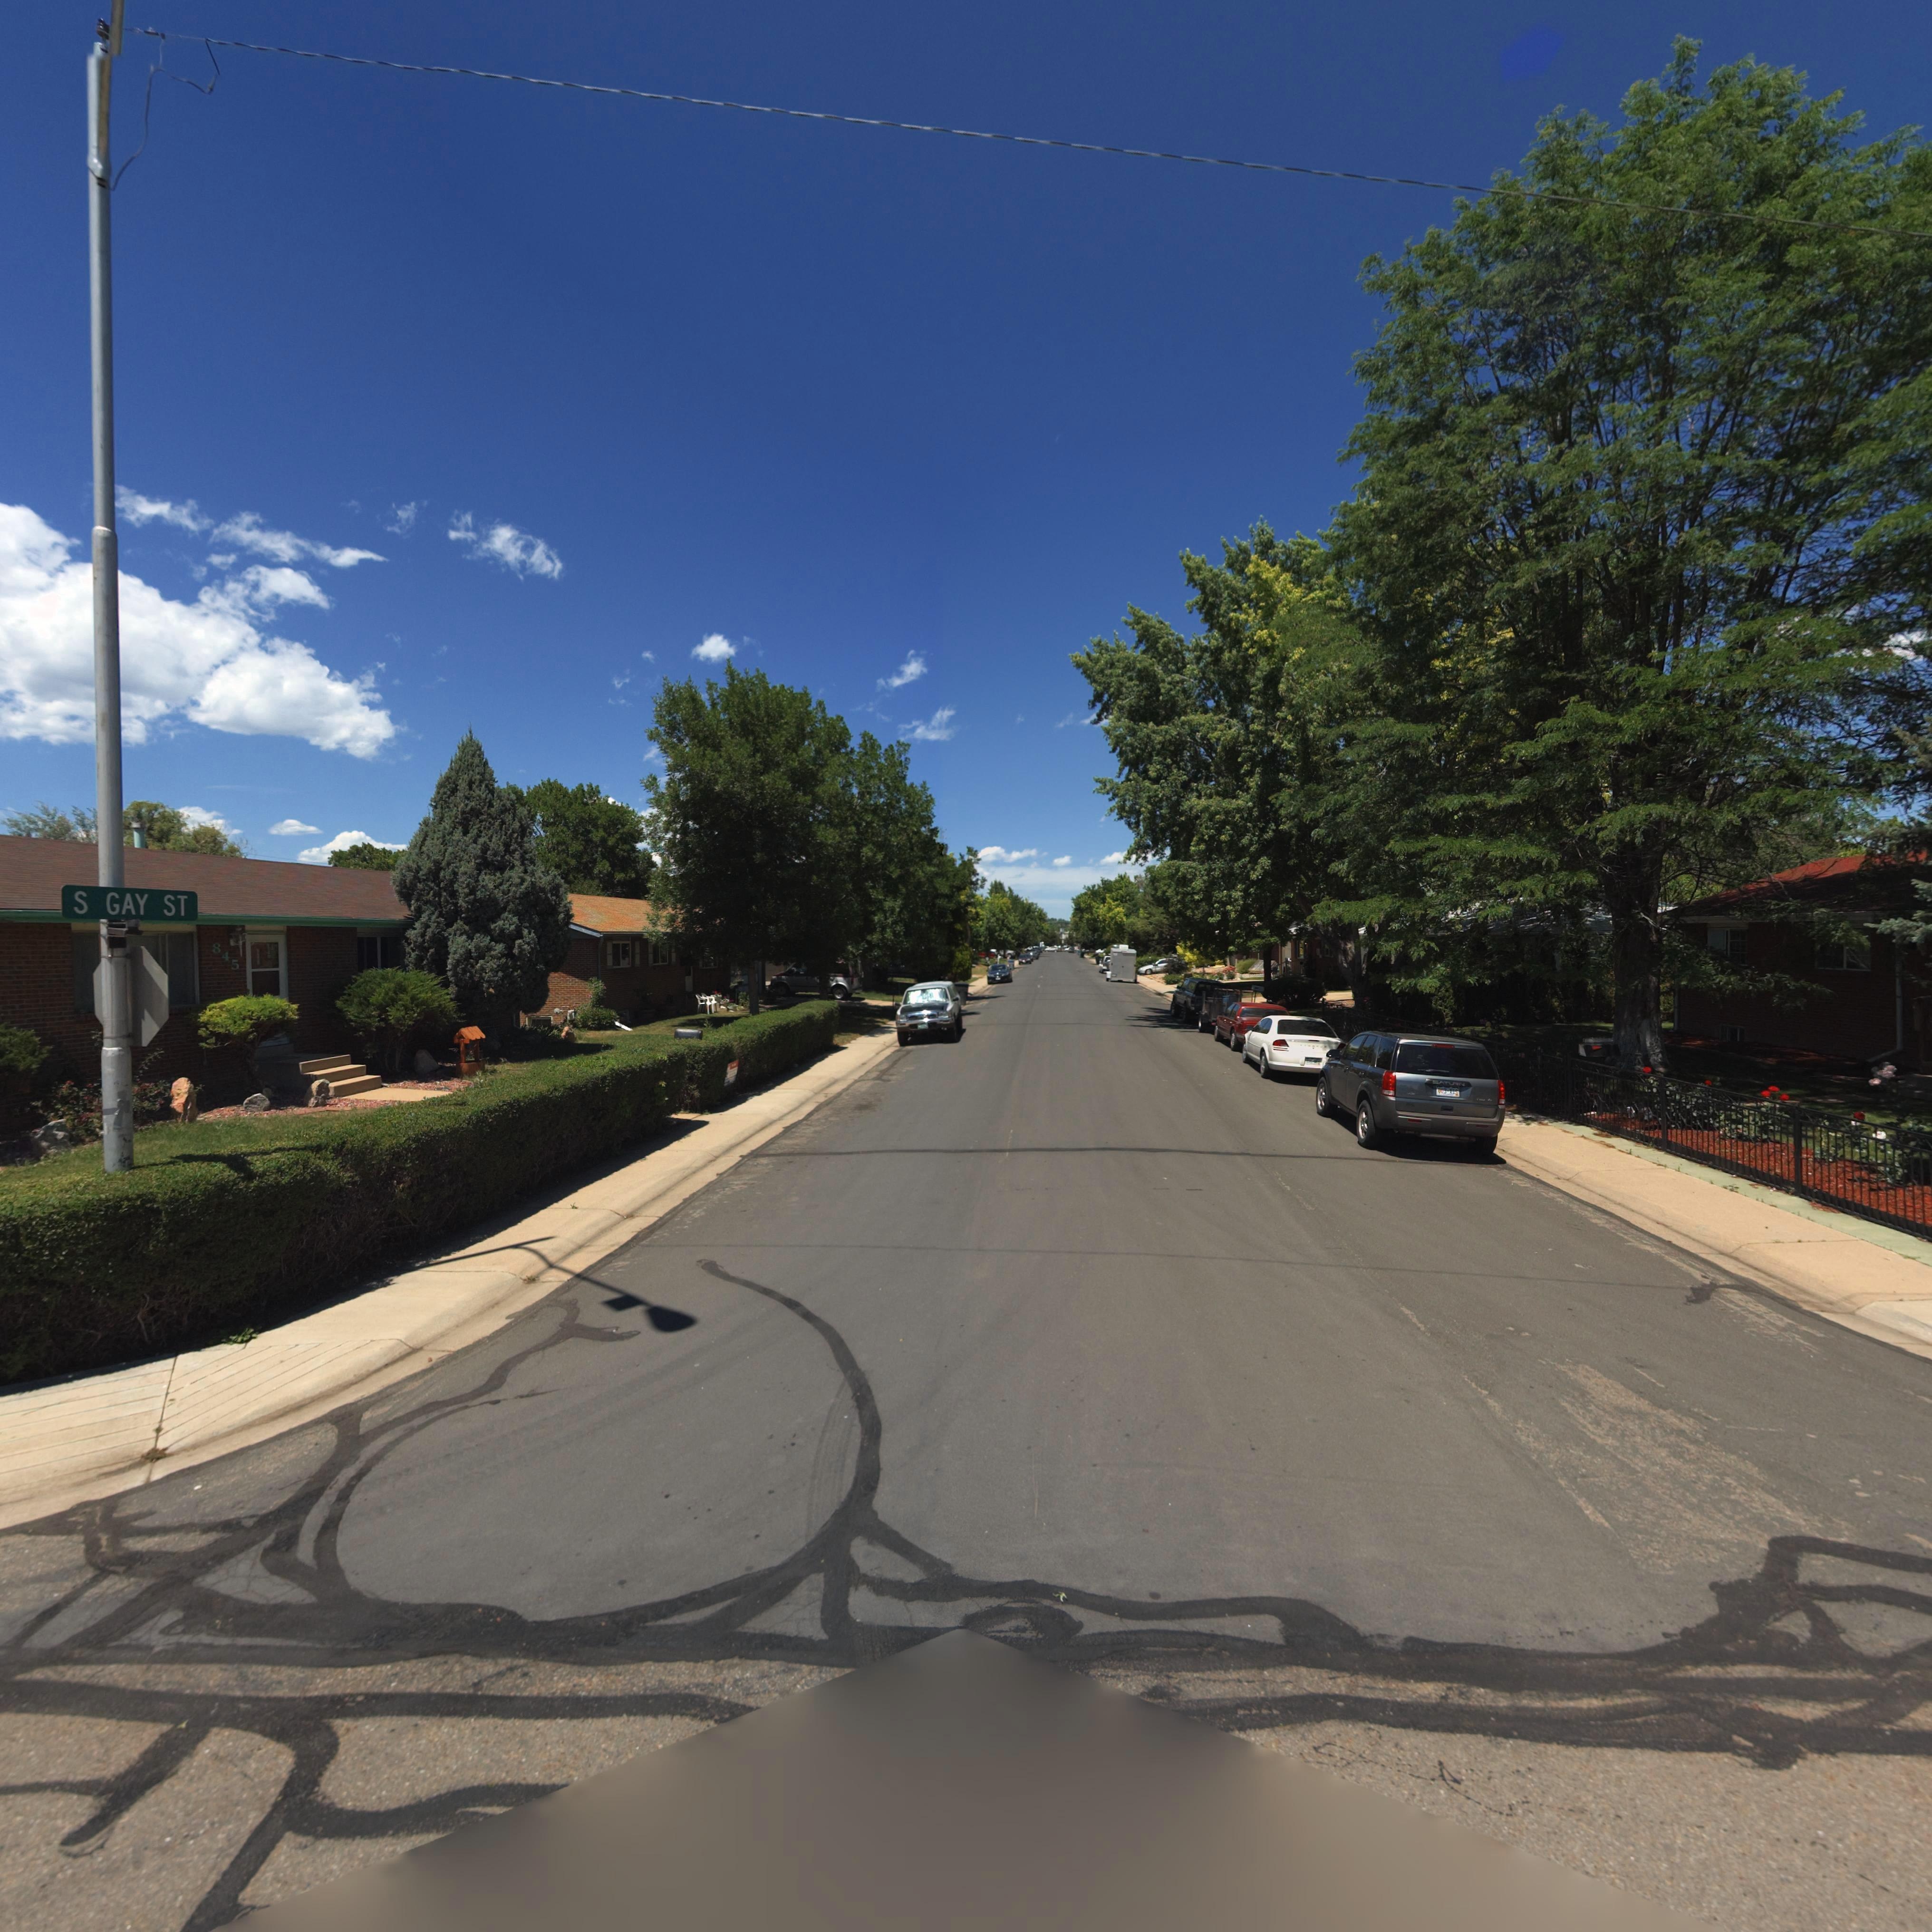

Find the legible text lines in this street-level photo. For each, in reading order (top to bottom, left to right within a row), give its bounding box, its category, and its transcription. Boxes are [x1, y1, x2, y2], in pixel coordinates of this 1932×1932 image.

[72, 889, 189, 917] StreetName: S GAY ST
[211, 941, 240, 971] StreetNumber: 845